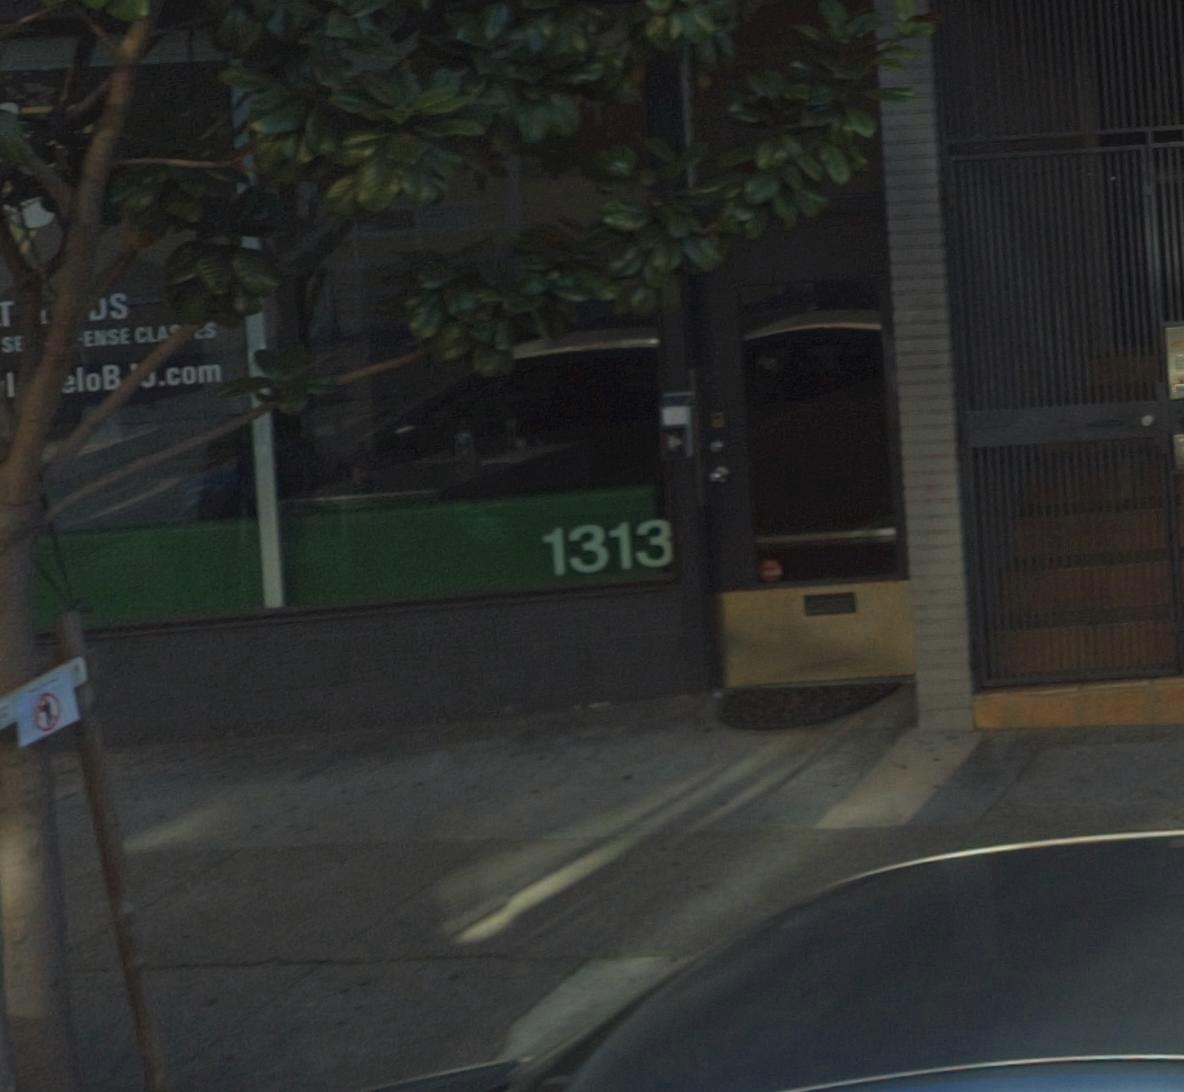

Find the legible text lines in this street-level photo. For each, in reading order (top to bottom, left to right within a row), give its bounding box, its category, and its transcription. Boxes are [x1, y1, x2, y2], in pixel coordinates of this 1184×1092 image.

[108, 291, 131, 323] None: S
[81, 319, 220, 349] None: ENSE CLA***S
[74, 358, 225, 396] None: loB**.com
[536, 516, 676, 580] StreetNumber: 1313